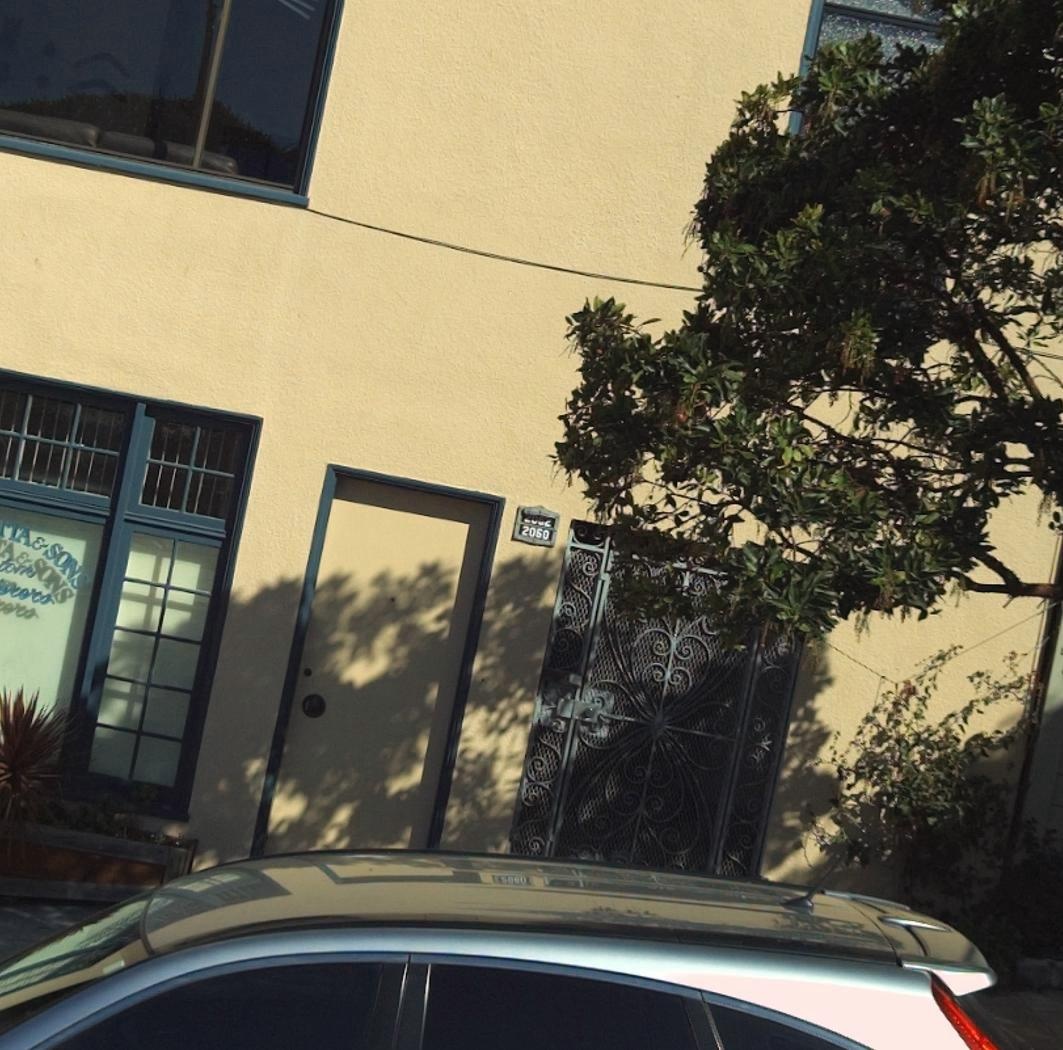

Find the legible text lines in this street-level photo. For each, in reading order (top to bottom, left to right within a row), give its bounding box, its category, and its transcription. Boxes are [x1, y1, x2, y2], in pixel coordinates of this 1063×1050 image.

[522, 513, 553, 528] StreetNumber: 2052
[520, 524, 551, 542] StreetNumber: 2060
[4, 519, 94, 591] BusinessName: TA & SONS